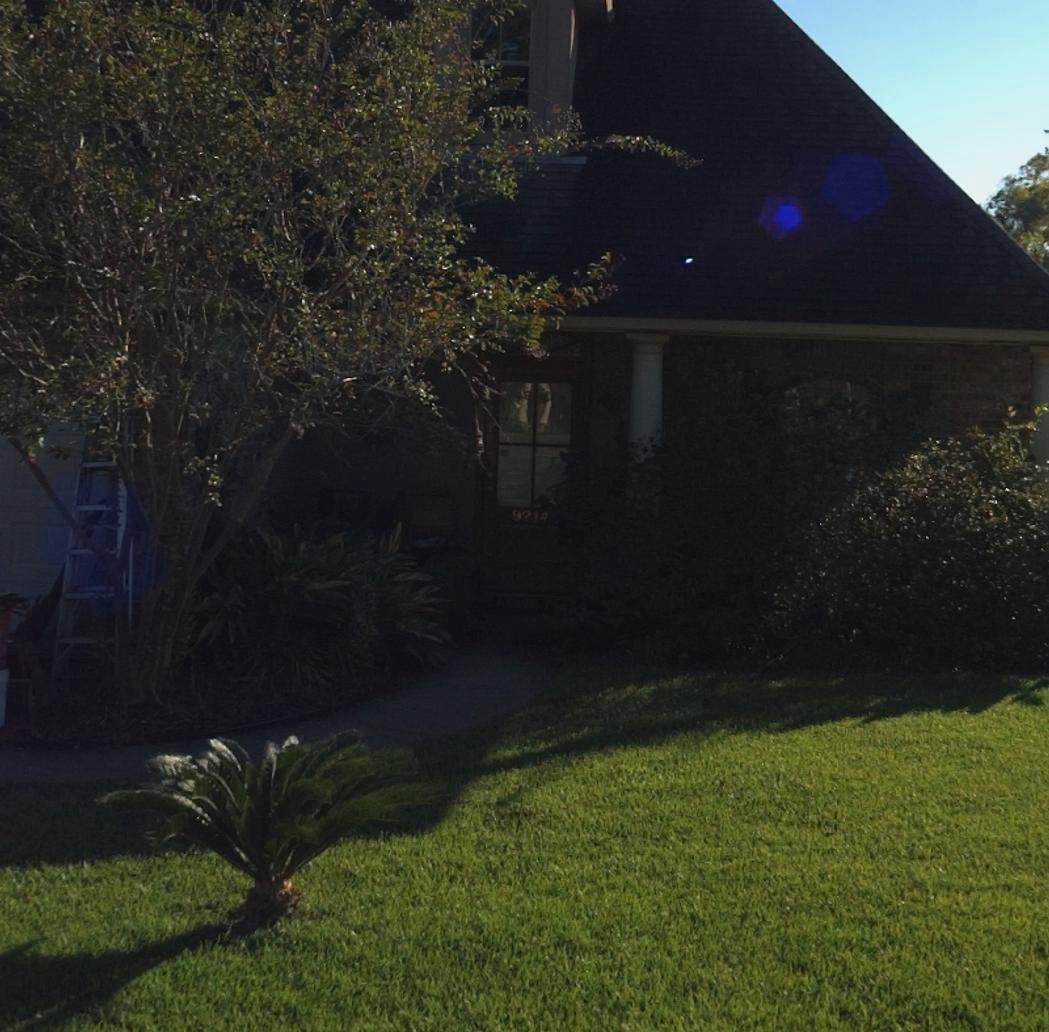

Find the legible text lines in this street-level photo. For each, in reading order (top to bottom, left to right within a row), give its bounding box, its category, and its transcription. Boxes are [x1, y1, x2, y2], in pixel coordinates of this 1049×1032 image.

[511, 508, 550, 524] StreetNumber: 9214